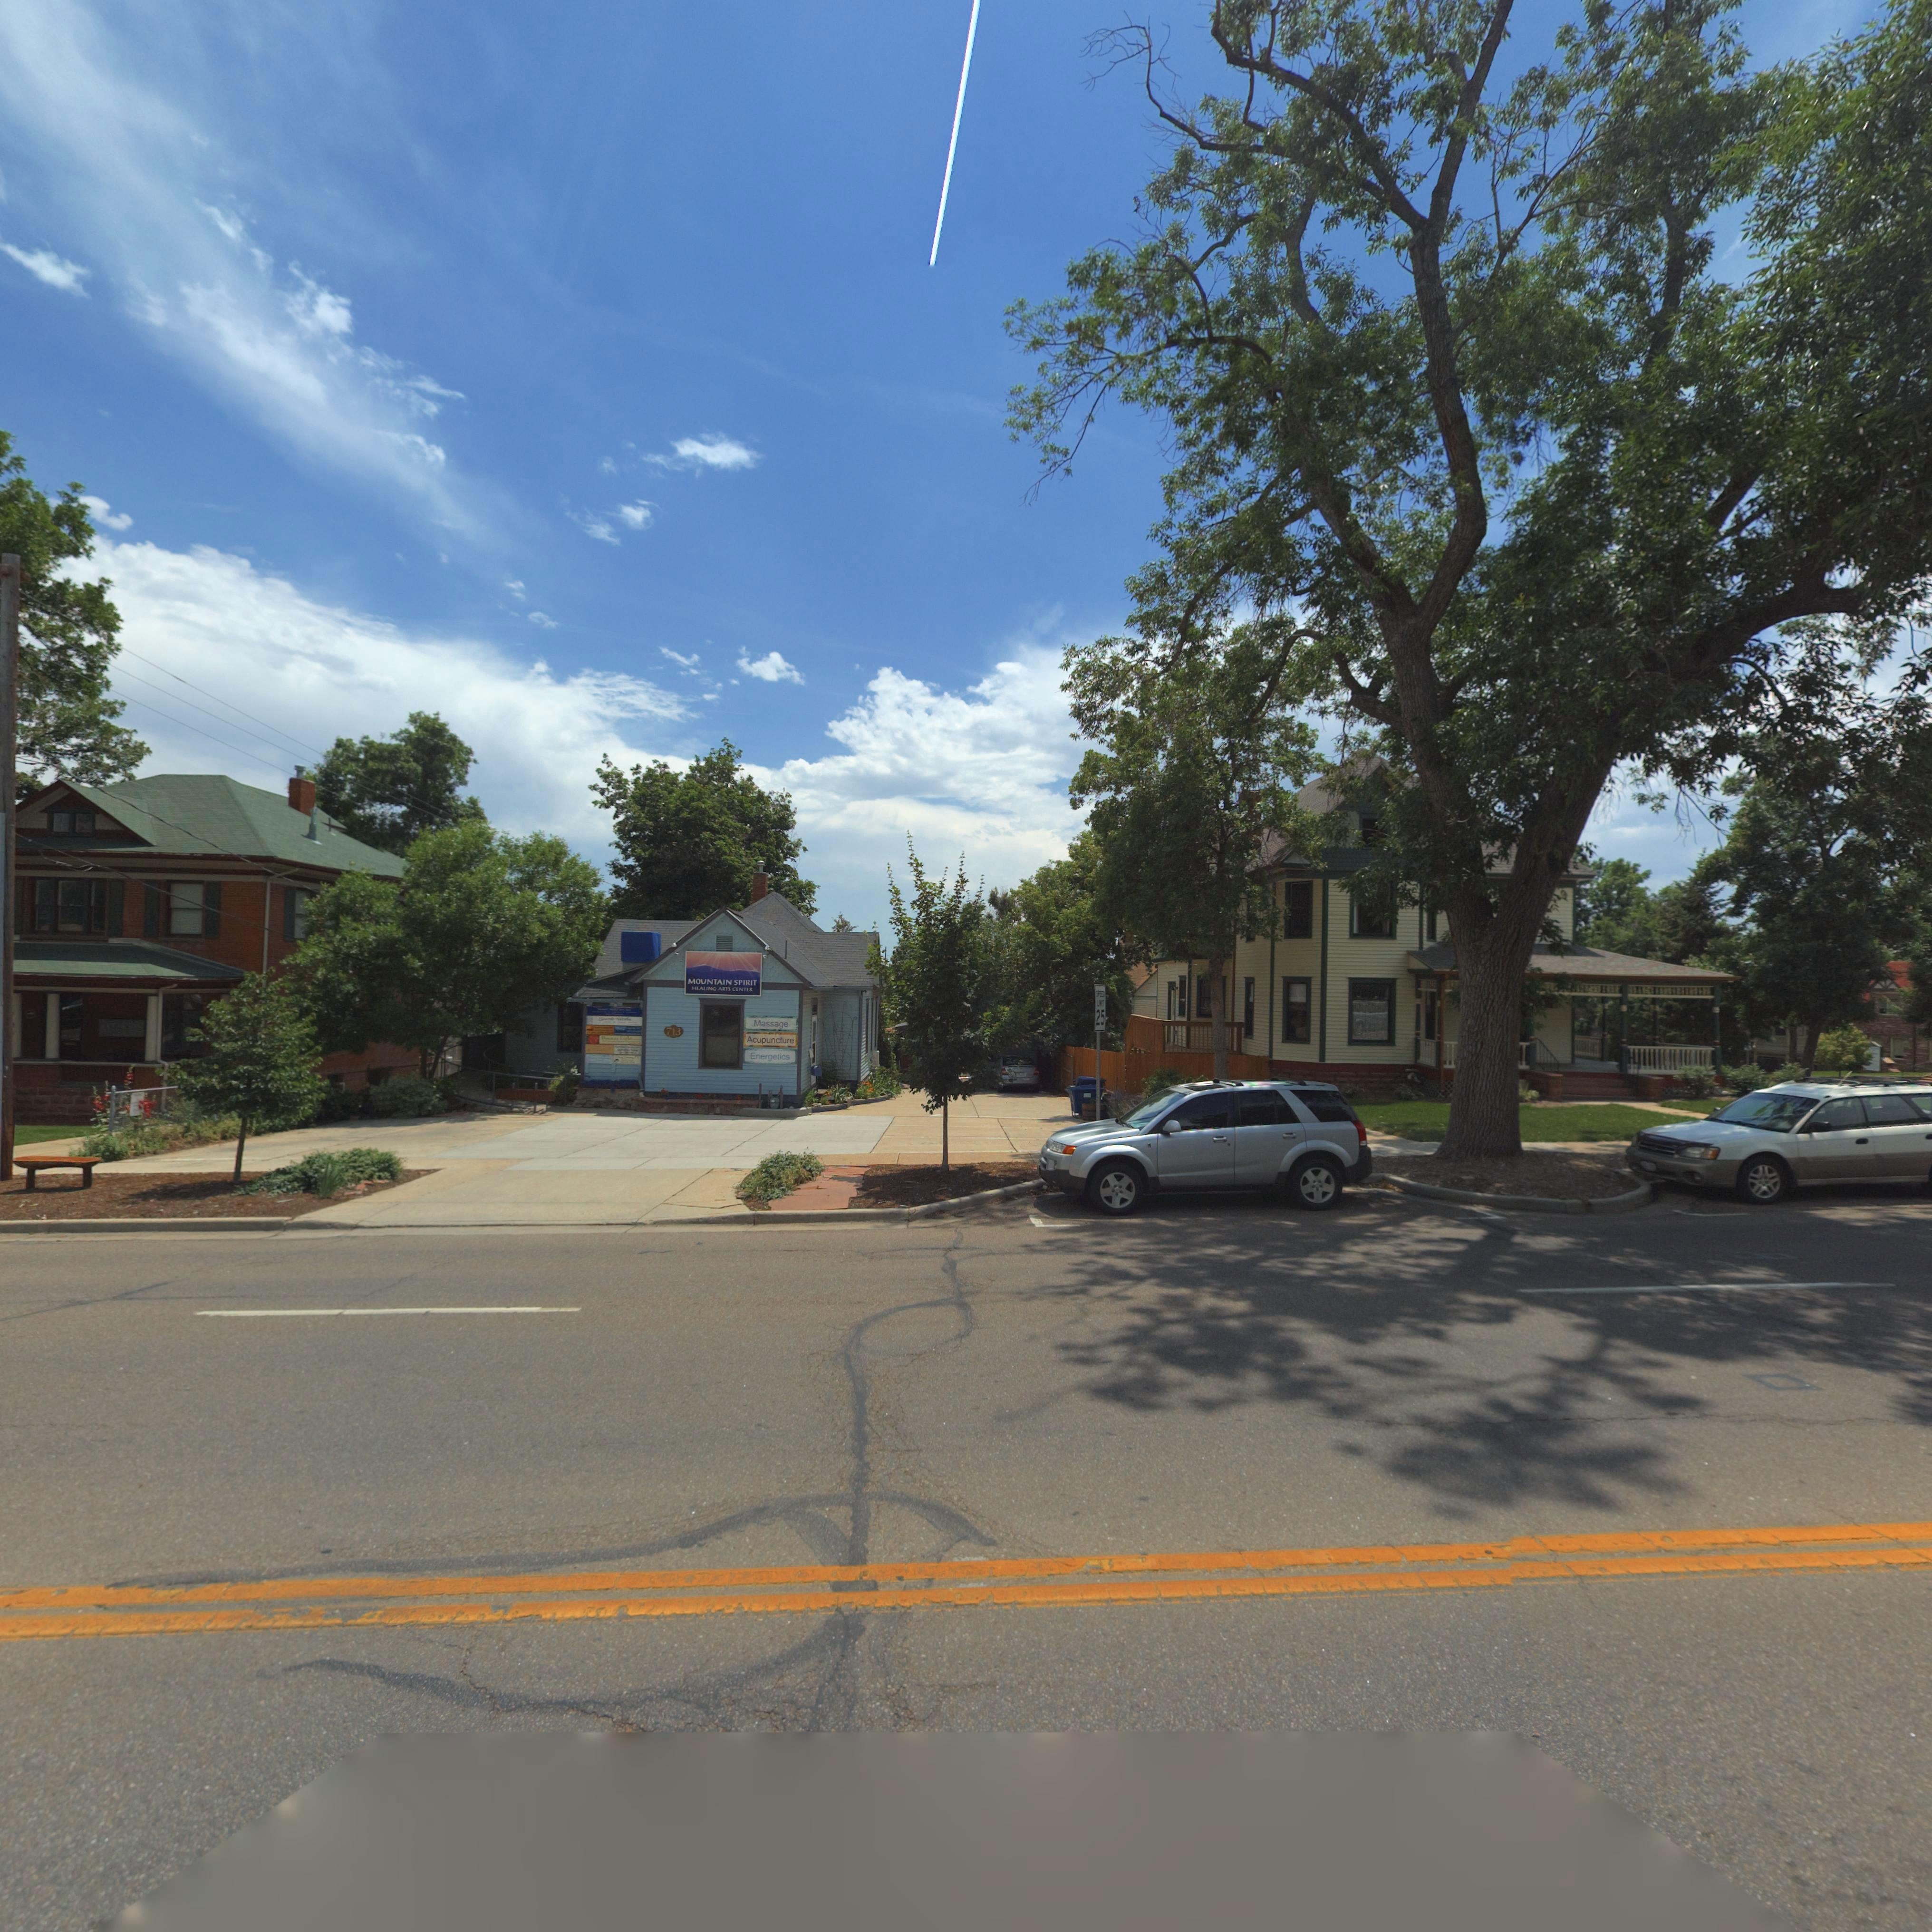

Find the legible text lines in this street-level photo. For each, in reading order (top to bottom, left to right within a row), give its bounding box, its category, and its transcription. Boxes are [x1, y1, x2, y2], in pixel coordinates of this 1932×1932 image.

[687, 978, 757, 985] BusinessName: MOUNTAIN SPIRIT
[692, 986, 753, 992] BusinessName: HEALING ARTS
[599, 1016, 632, 1021] BusinessName: S****t W**k*
[666, 1027, 680, 1035] StreetNumber: 713
[601, 1035, 632, 1041] BusinessName: D***** L****